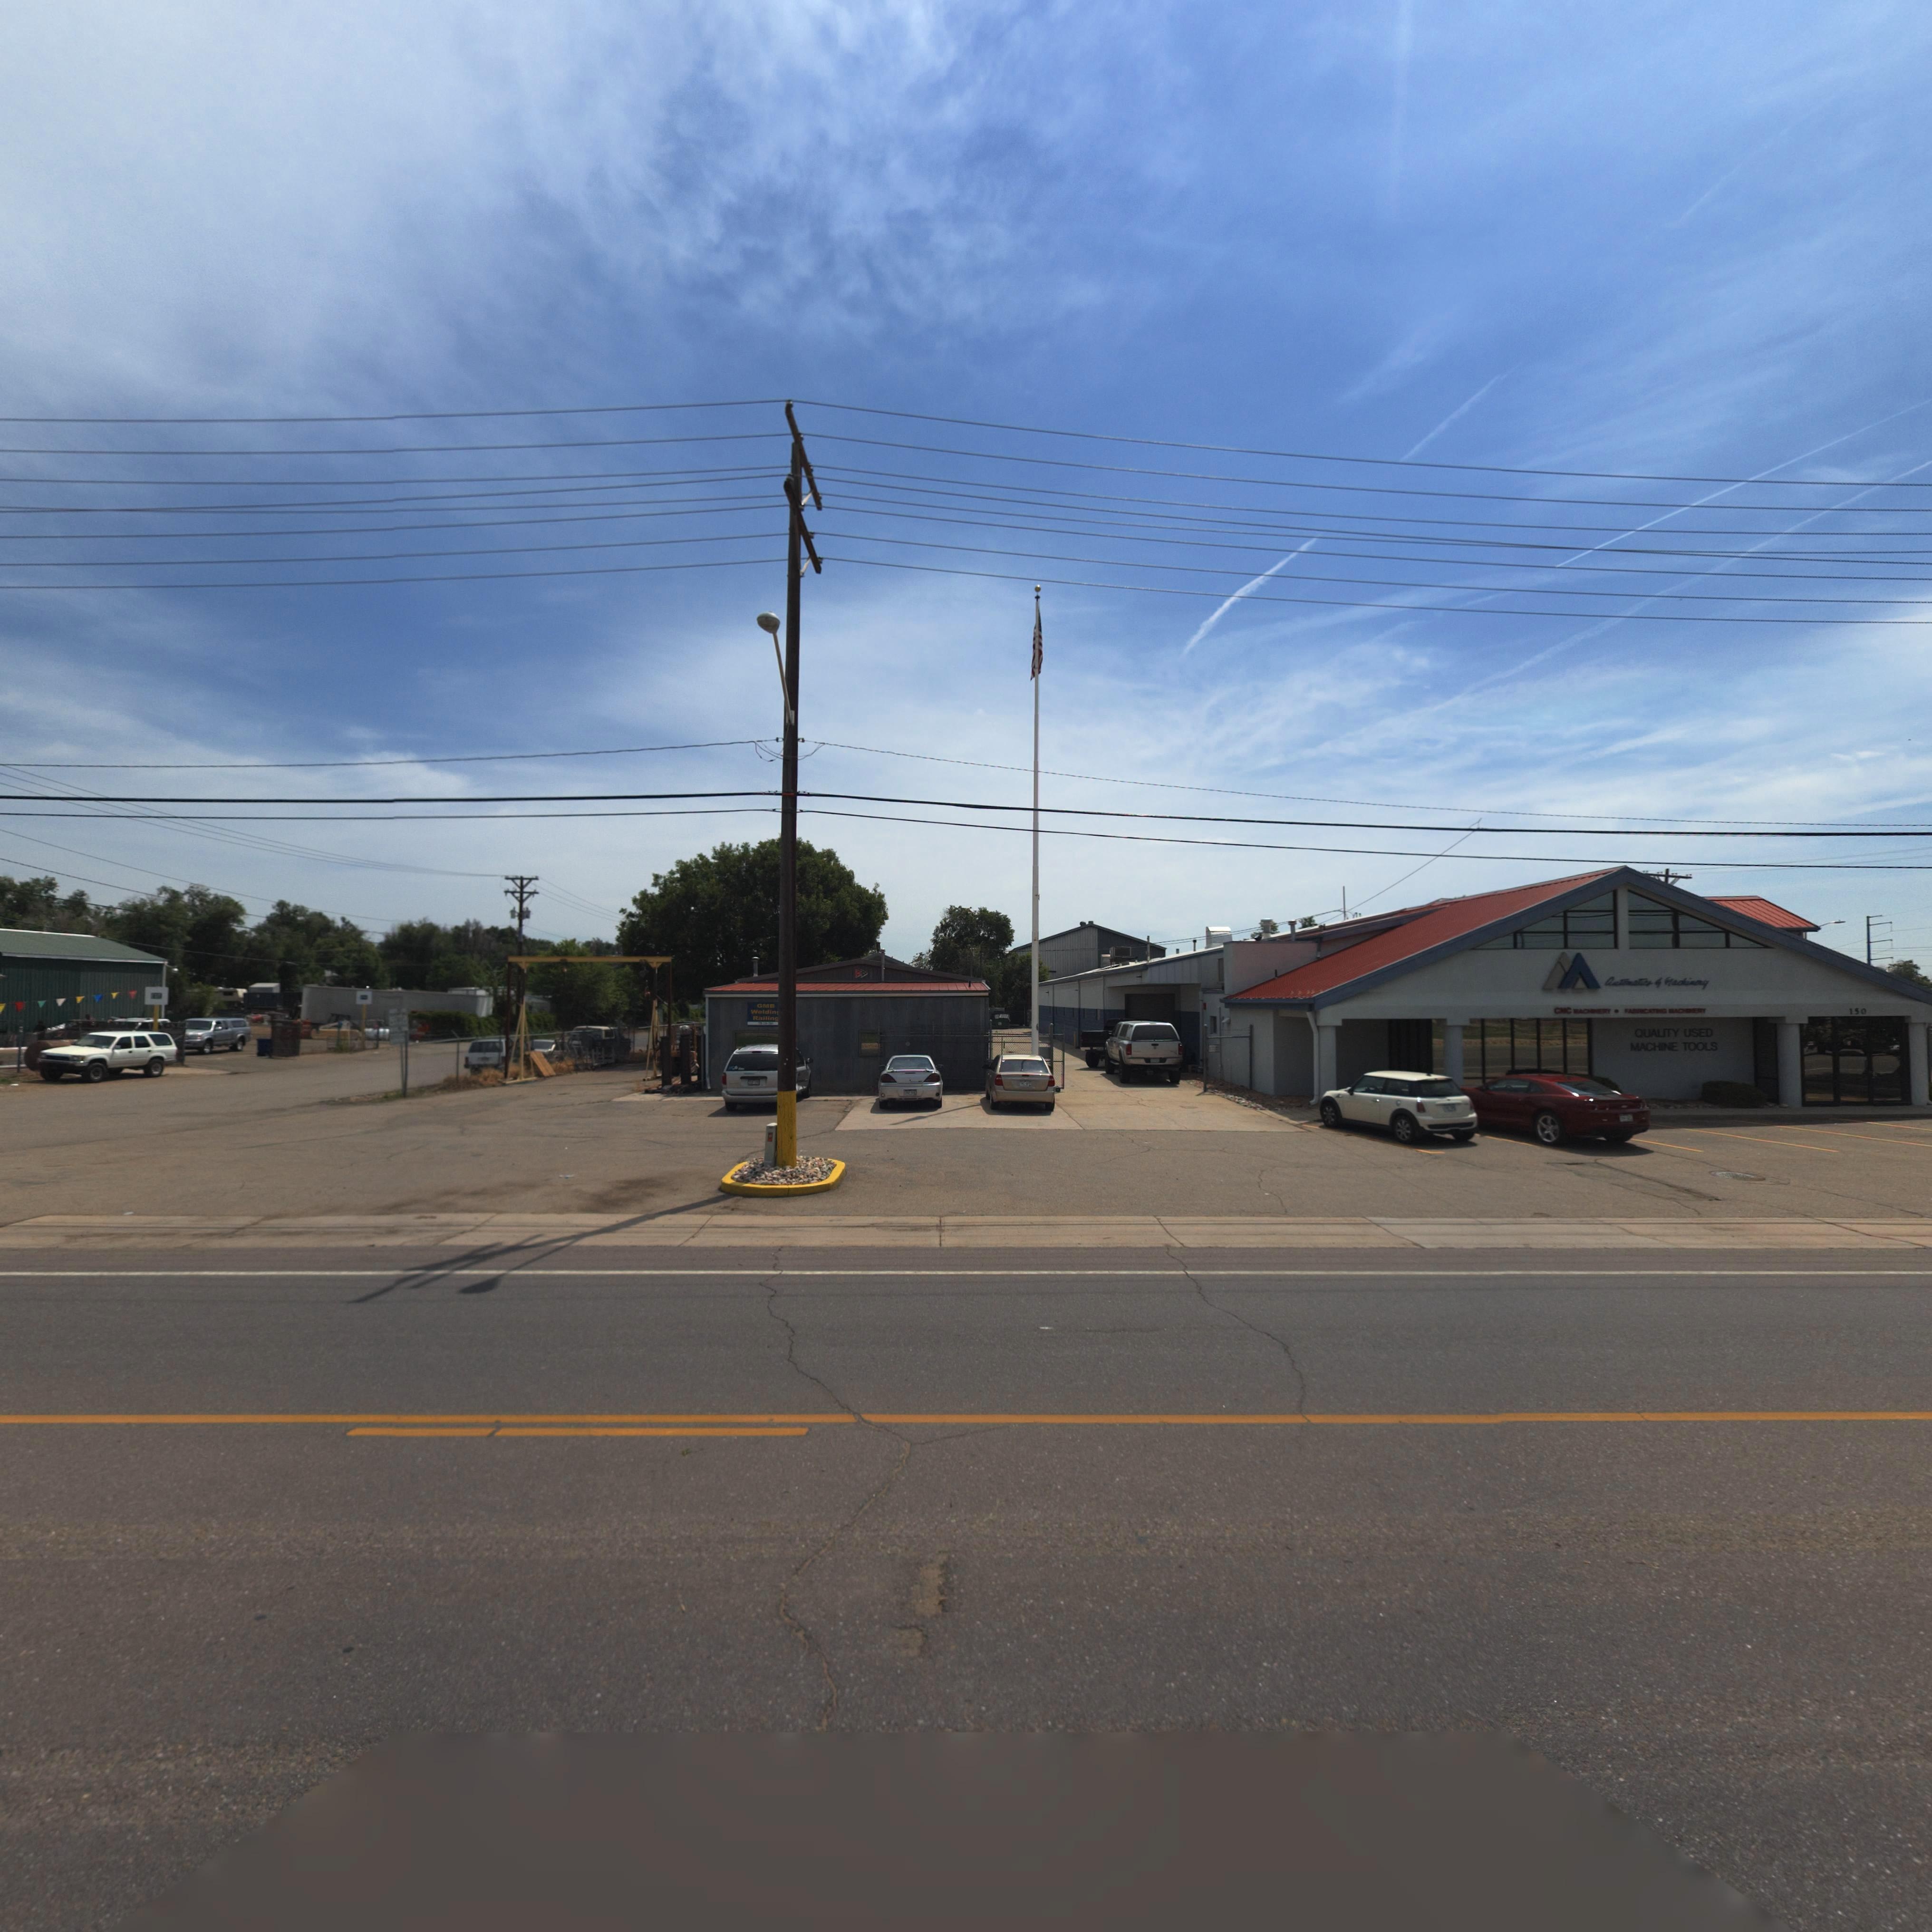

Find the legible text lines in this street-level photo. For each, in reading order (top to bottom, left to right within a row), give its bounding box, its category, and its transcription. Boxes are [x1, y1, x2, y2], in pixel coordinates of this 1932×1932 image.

[1603, 976, 1710, 991] BusinessName: A********* * ***i**y
[756, 1003, 775, 1008] BusinessName: GMB
[750, 1009, 779, 1016] BusinessName: Weldin*
[1848, 1007, 1866, 1014] StreetNumber: 150
[753, 1015, 779, 1022] BusinessName: Railing